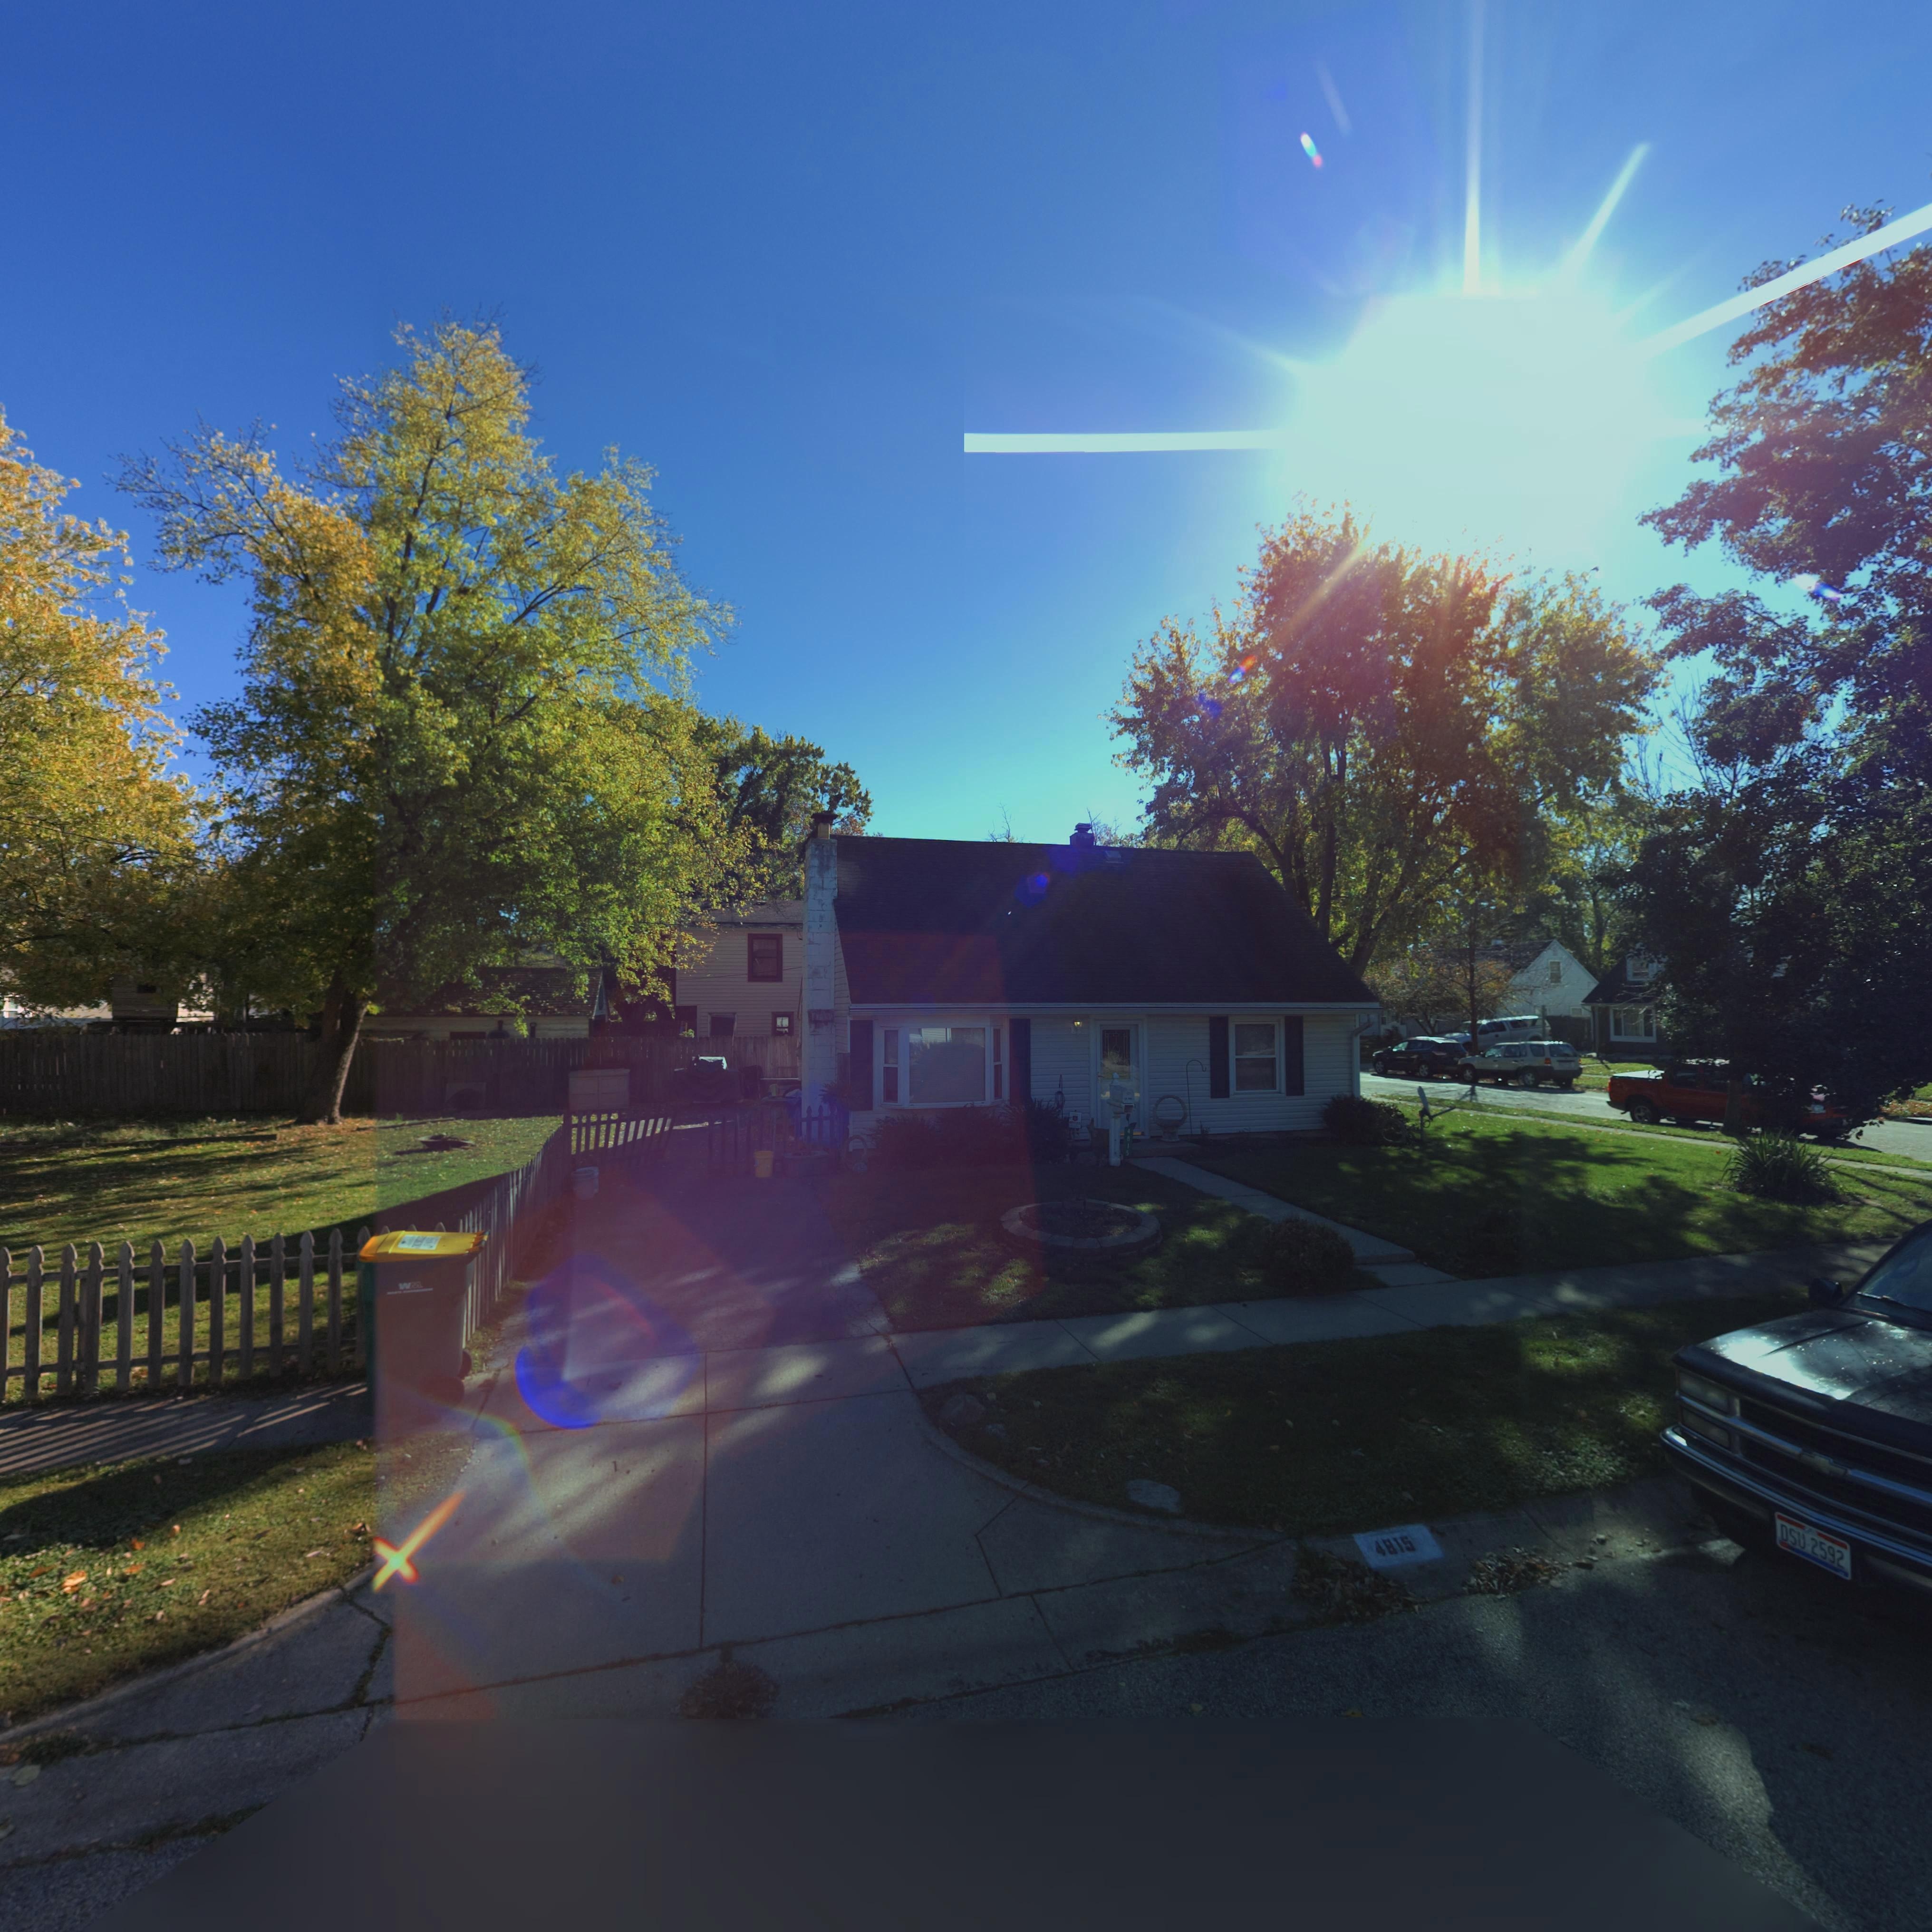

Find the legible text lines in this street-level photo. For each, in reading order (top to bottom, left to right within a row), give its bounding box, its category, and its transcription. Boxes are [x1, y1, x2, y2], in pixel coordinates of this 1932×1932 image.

[1125, 1127, 1131, 1157] StreetNumber: 4*15
[1371, 1534, 1418, 1559] StreetNumber: 4815